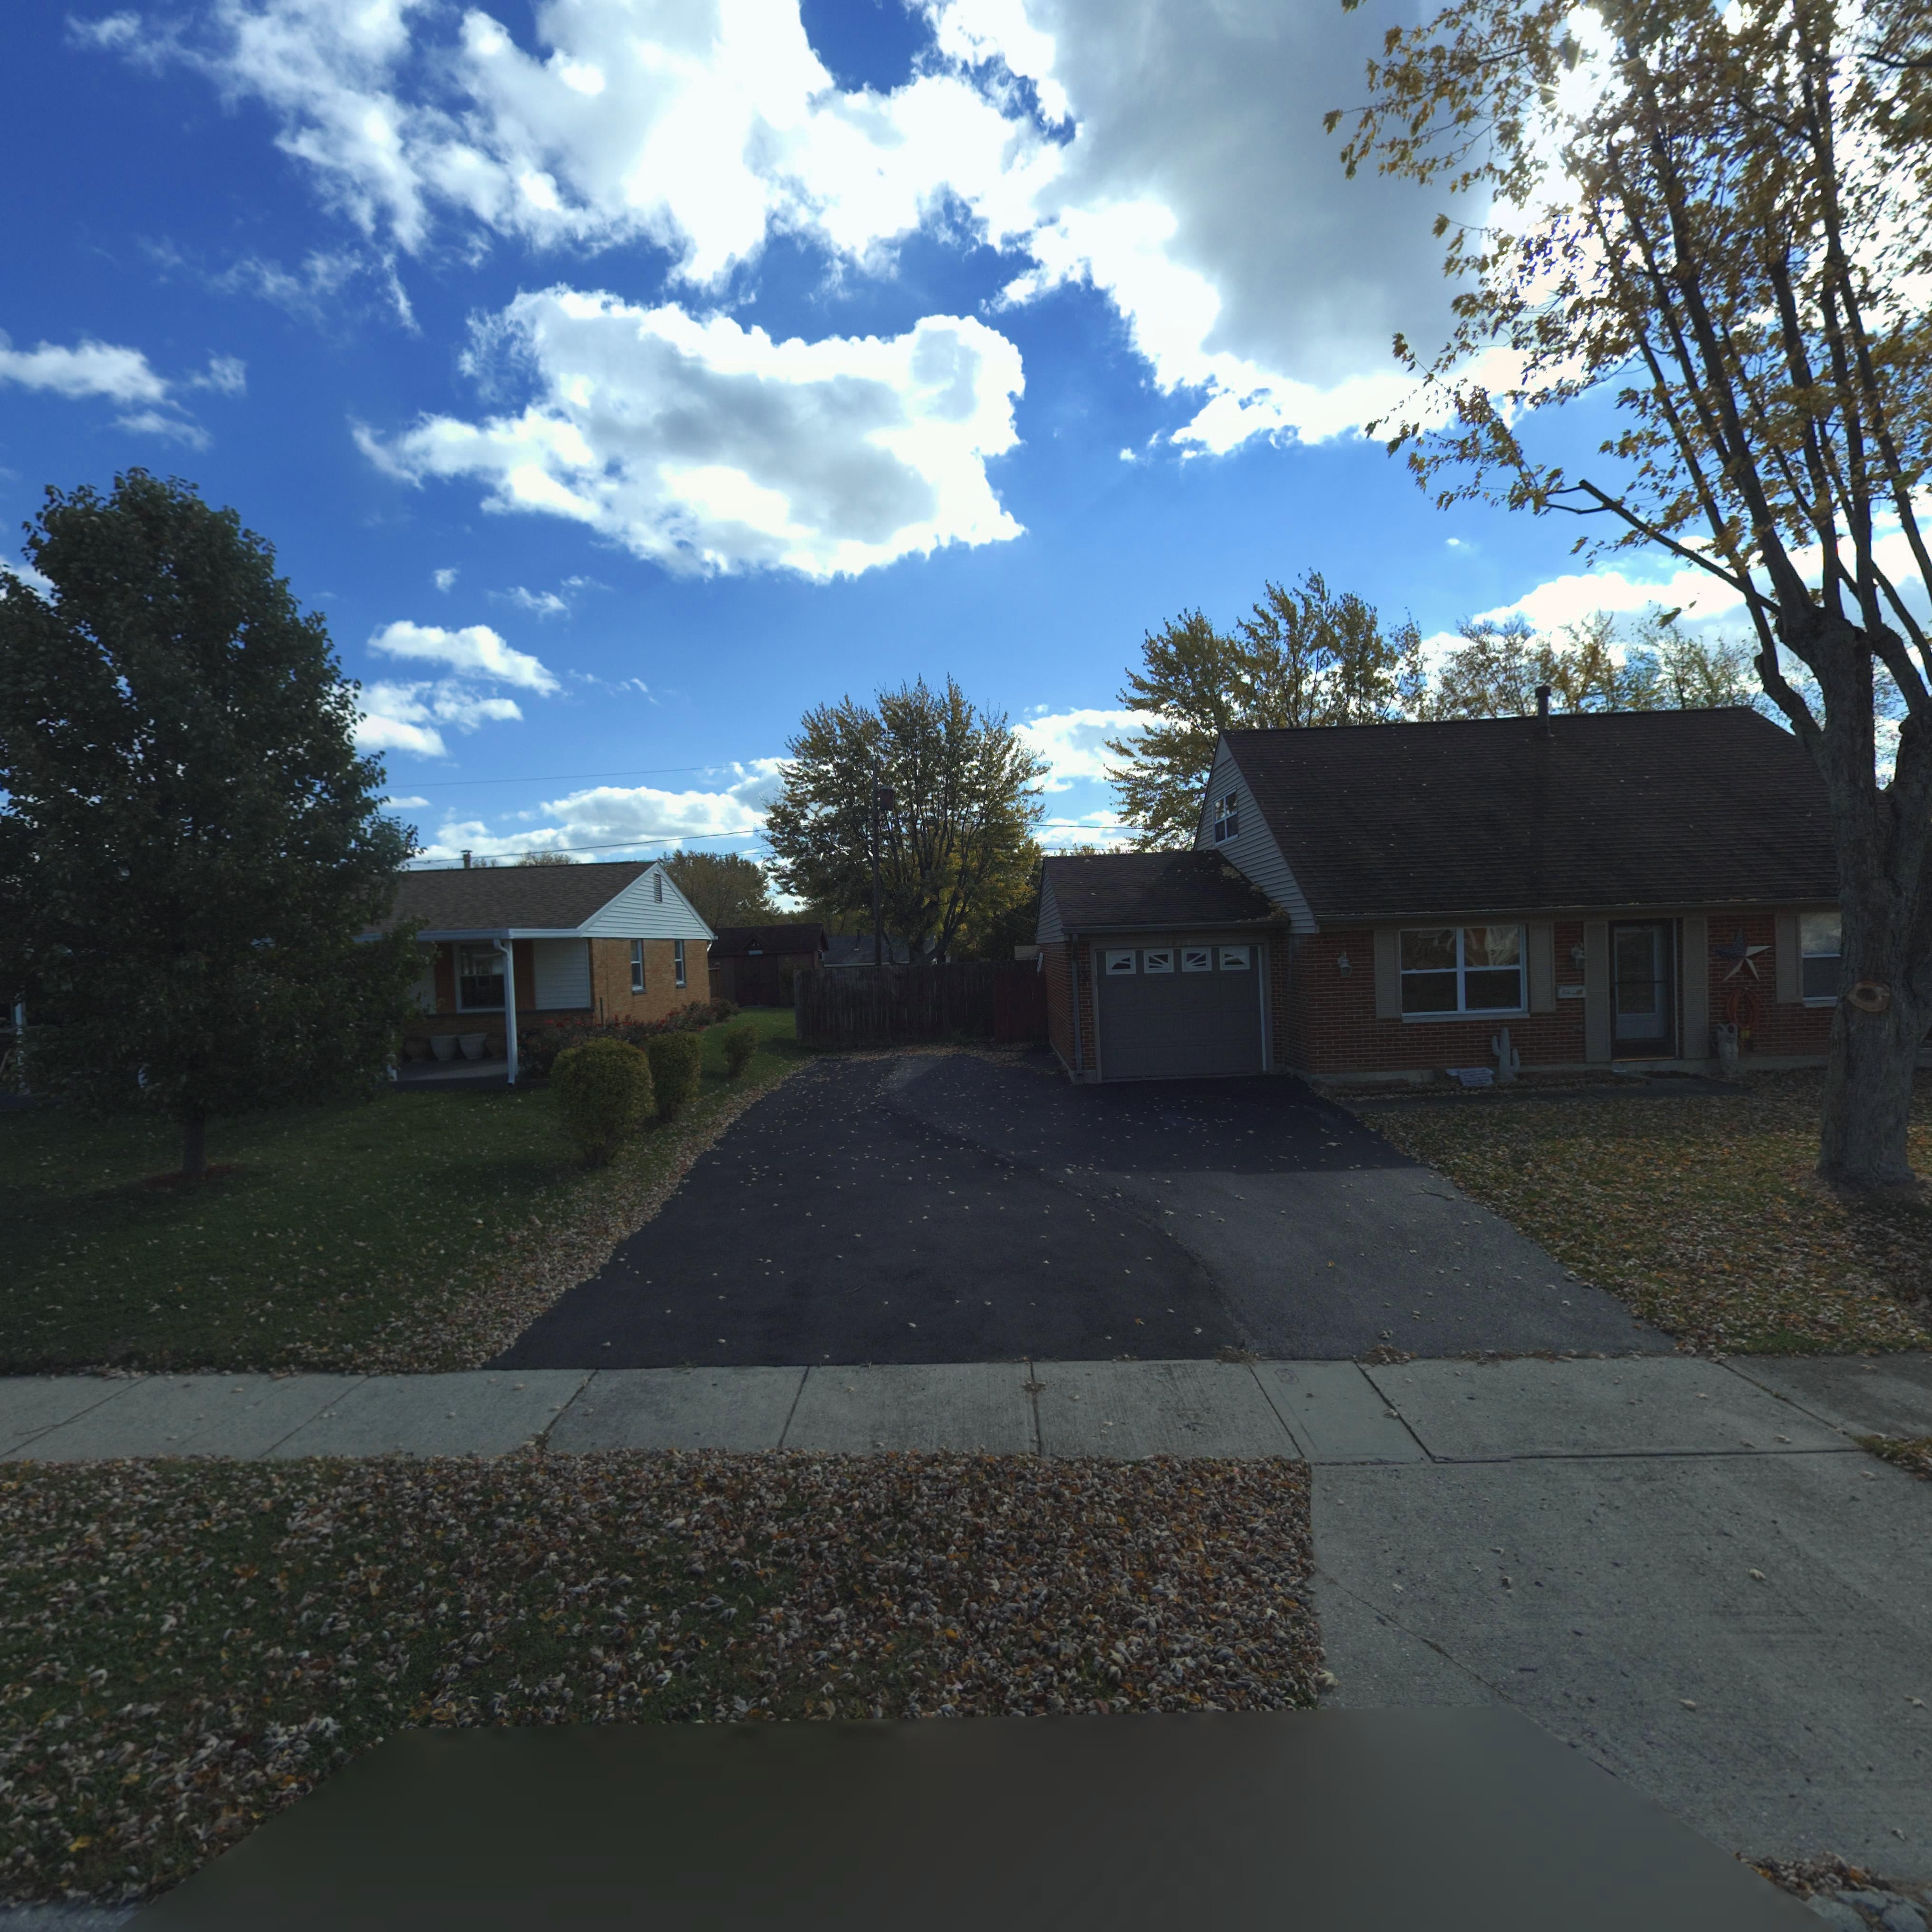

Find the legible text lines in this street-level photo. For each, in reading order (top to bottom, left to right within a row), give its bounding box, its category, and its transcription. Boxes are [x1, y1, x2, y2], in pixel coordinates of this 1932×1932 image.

[1163, 937, 1192, 947] StreetNumber: 7678